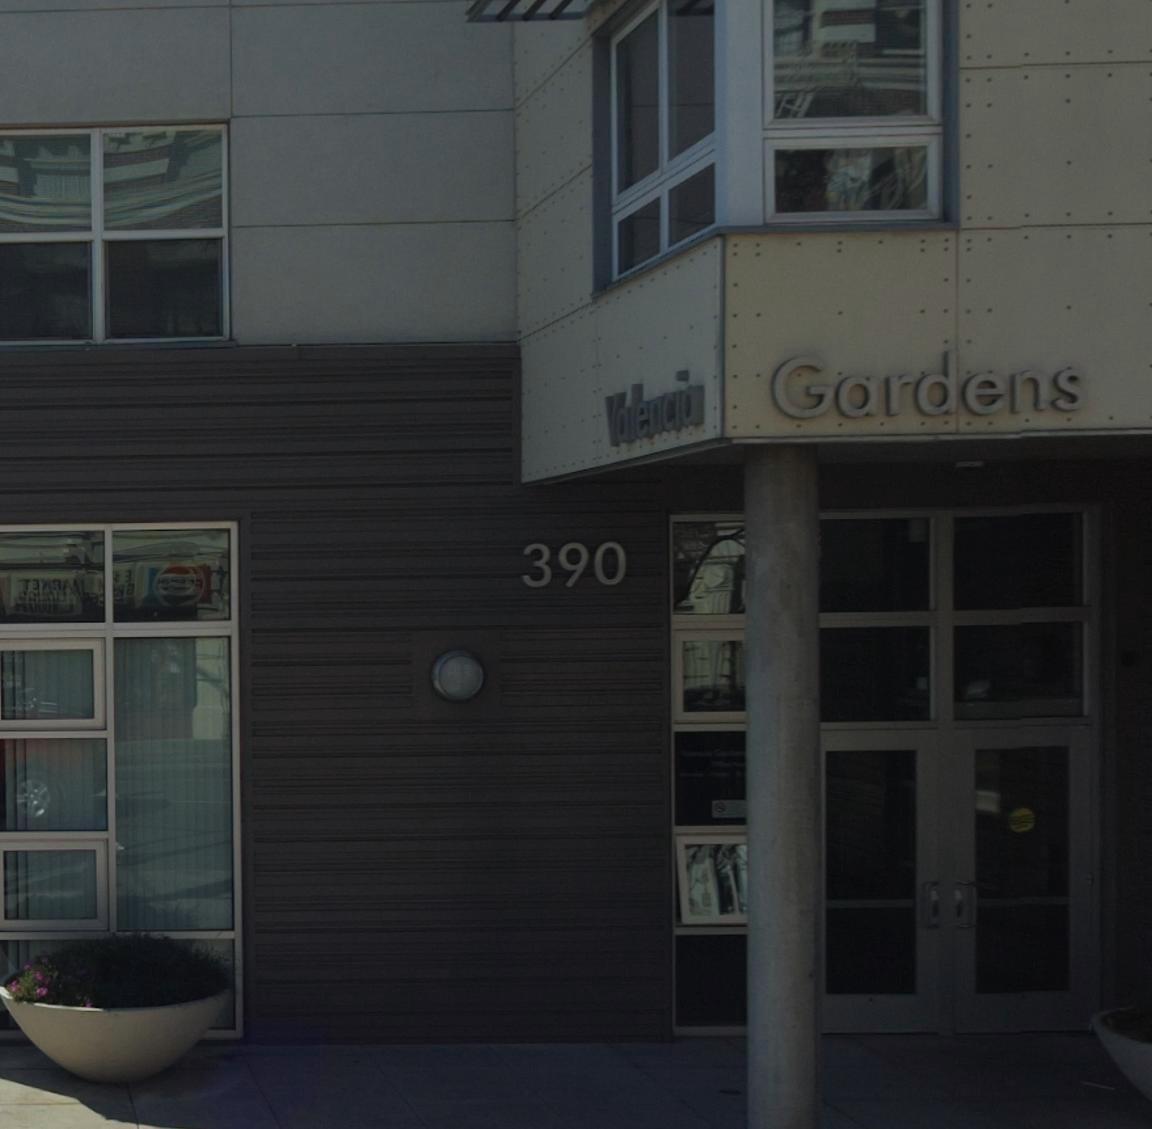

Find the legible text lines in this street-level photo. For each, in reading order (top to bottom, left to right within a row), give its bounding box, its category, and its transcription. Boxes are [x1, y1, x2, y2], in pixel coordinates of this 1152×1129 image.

[602, 368, 707, 452] BusinessName: Valencia
[769, 348, 1088, 422] BusinessName: Gardens
[519, 539, 630, 589] StreetNumber: 390